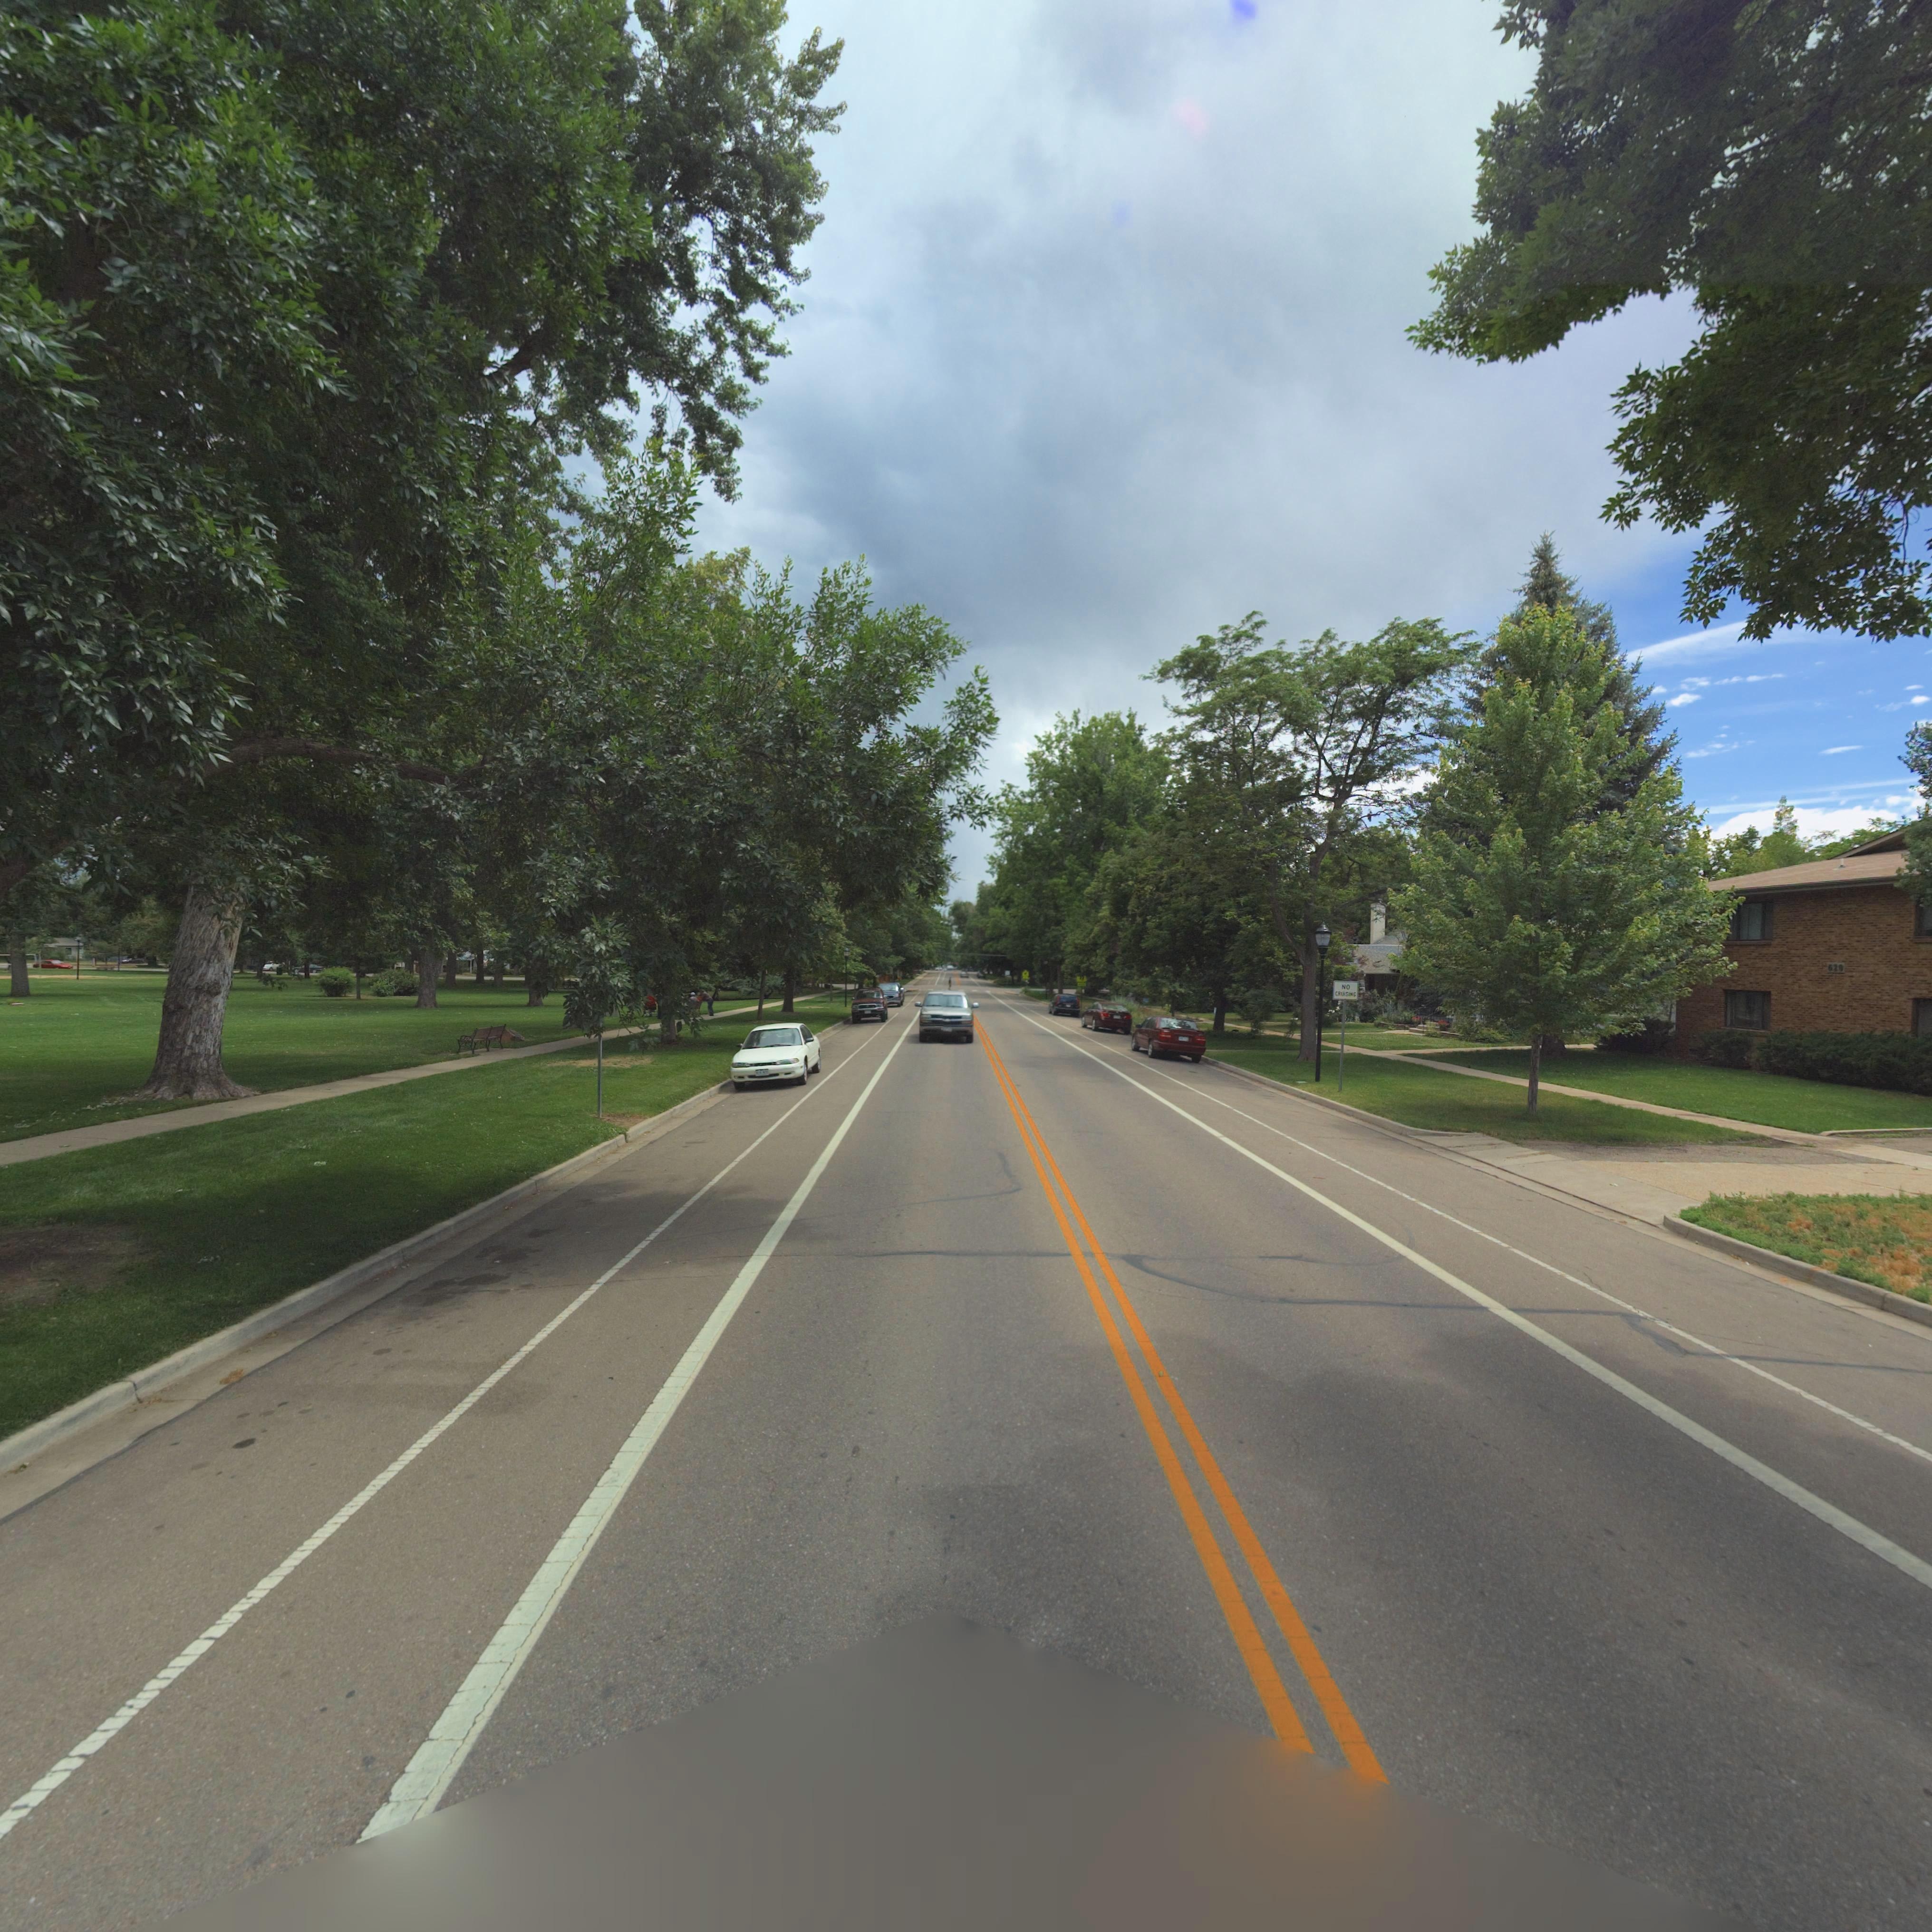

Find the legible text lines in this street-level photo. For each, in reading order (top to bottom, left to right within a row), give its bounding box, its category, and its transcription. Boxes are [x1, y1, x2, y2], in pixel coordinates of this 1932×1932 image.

[1827, 964, 1843, 971] StreetNumber: 62*